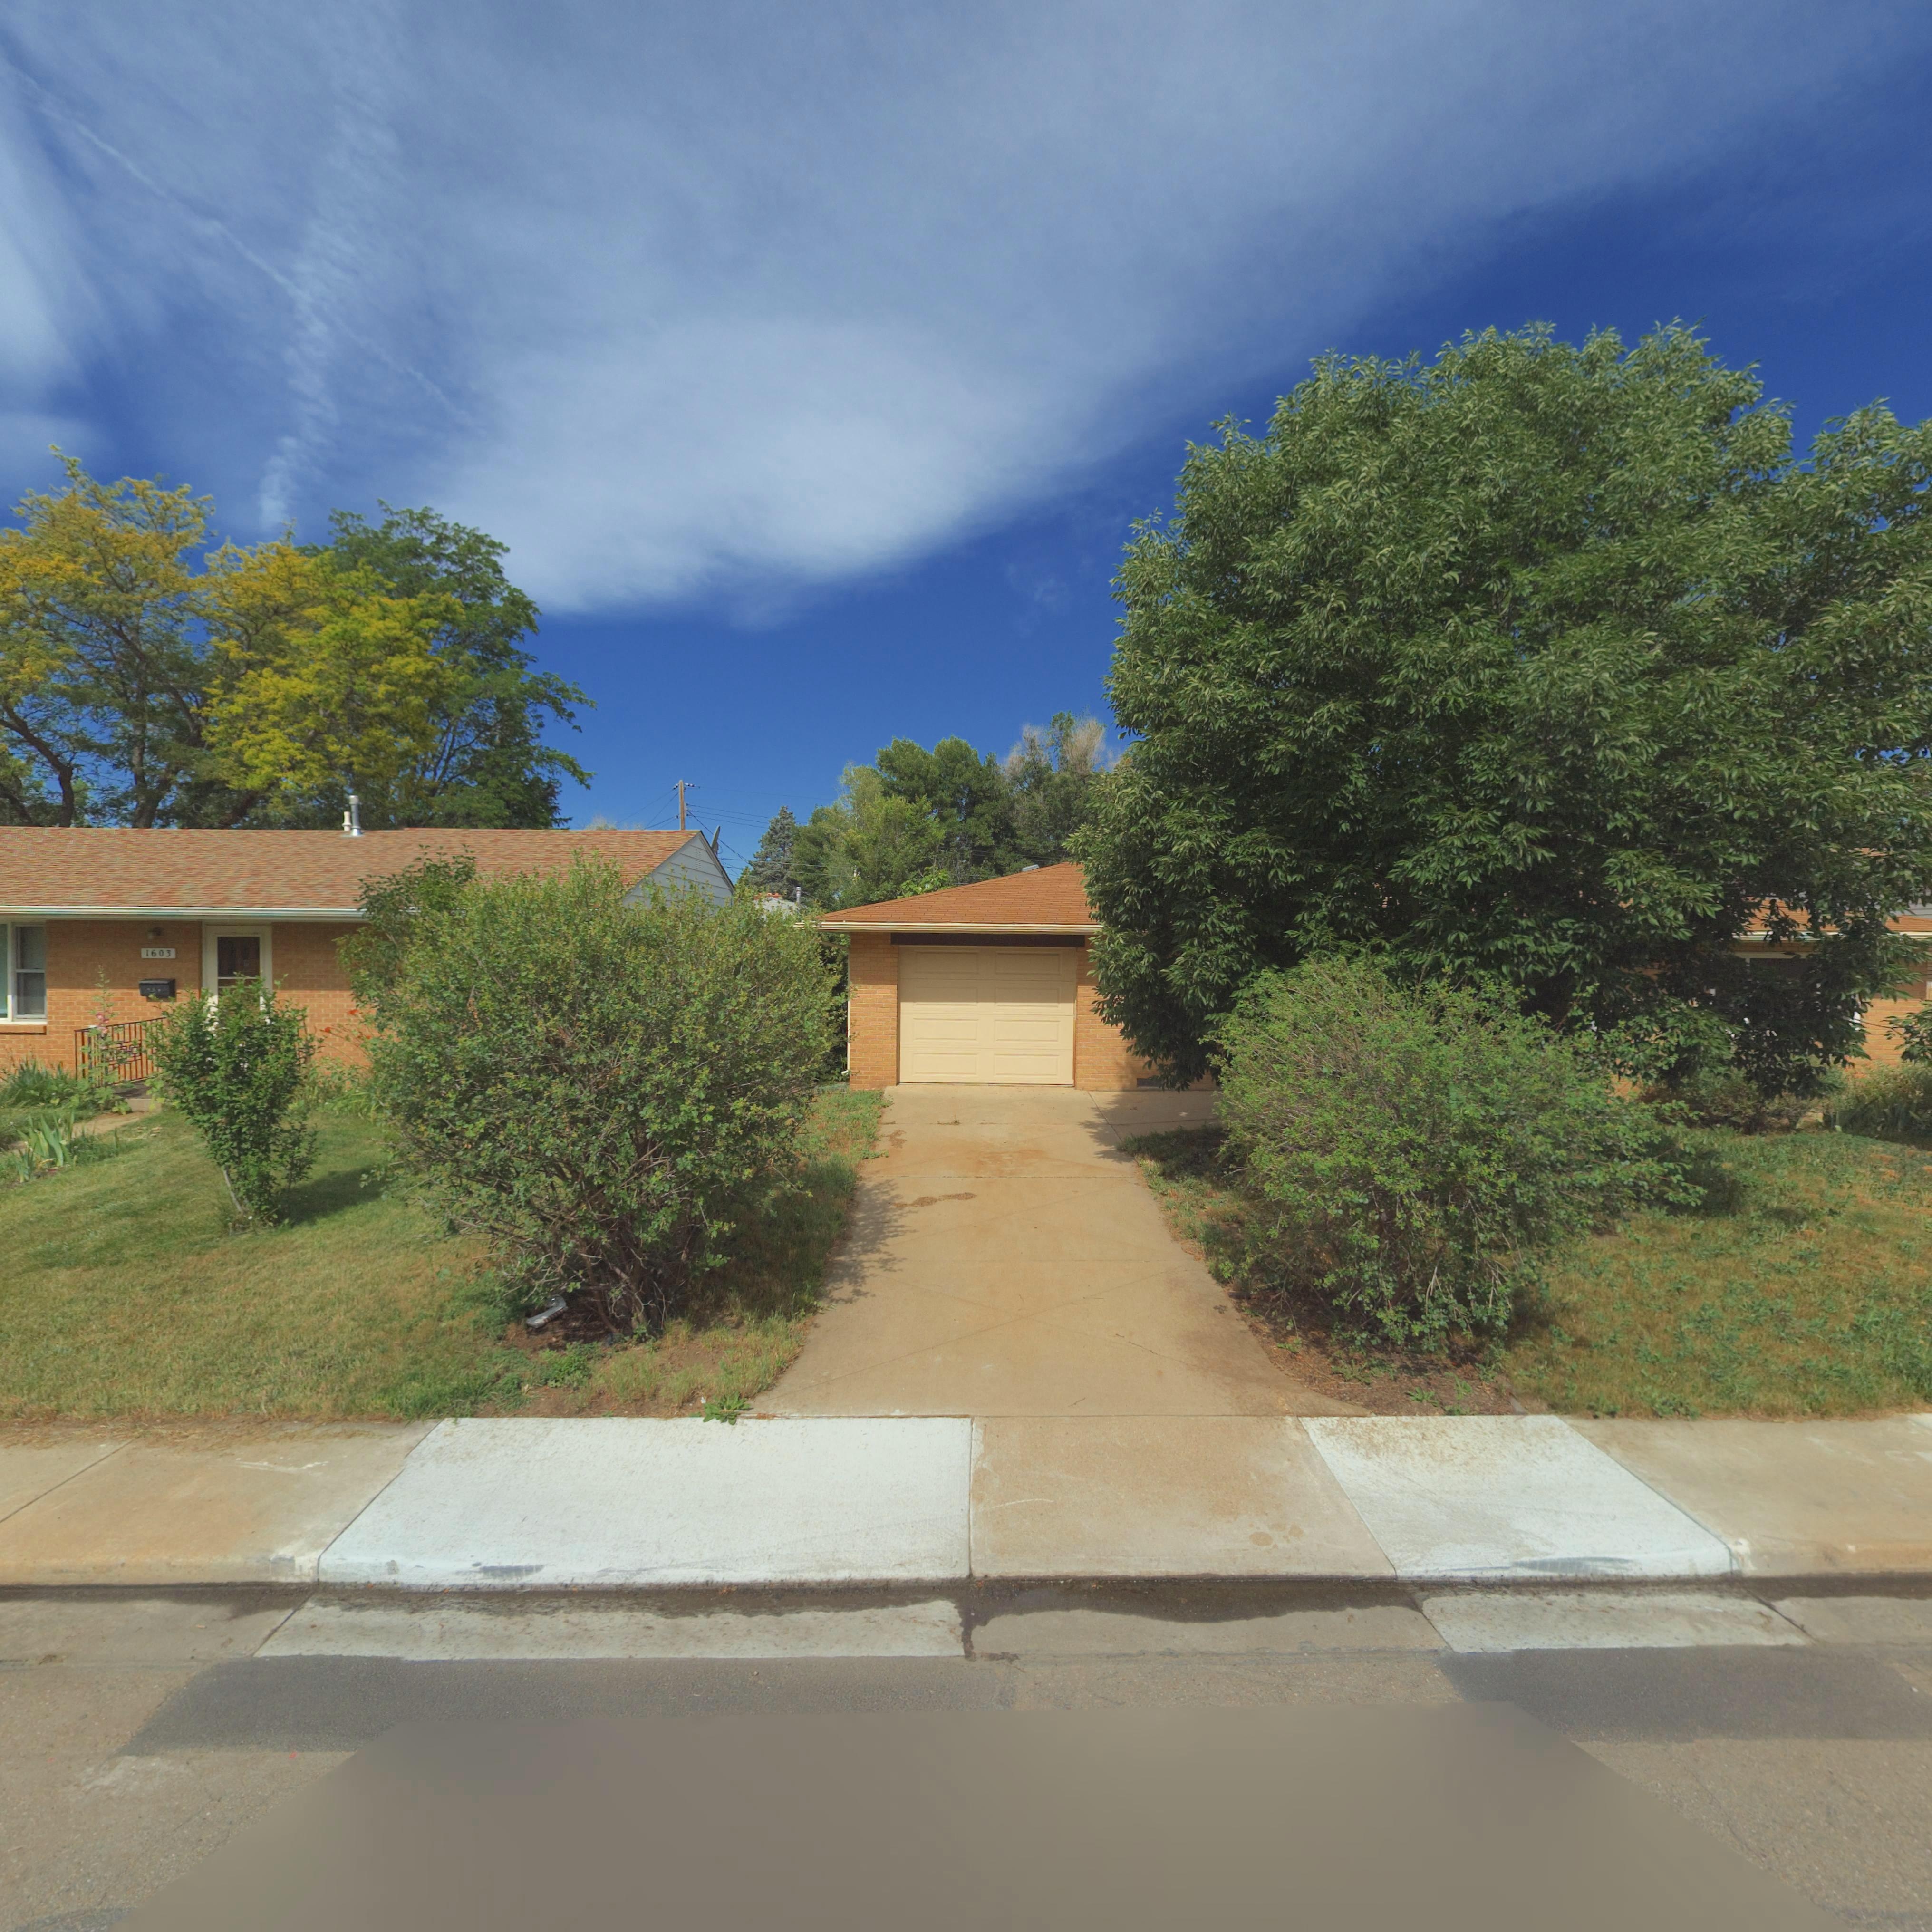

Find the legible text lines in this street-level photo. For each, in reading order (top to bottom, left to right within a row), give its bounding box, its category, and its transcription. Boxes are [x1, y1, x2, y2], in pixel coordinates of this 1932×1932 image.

[145, 949, 171, 957] StreetNumber: 1603